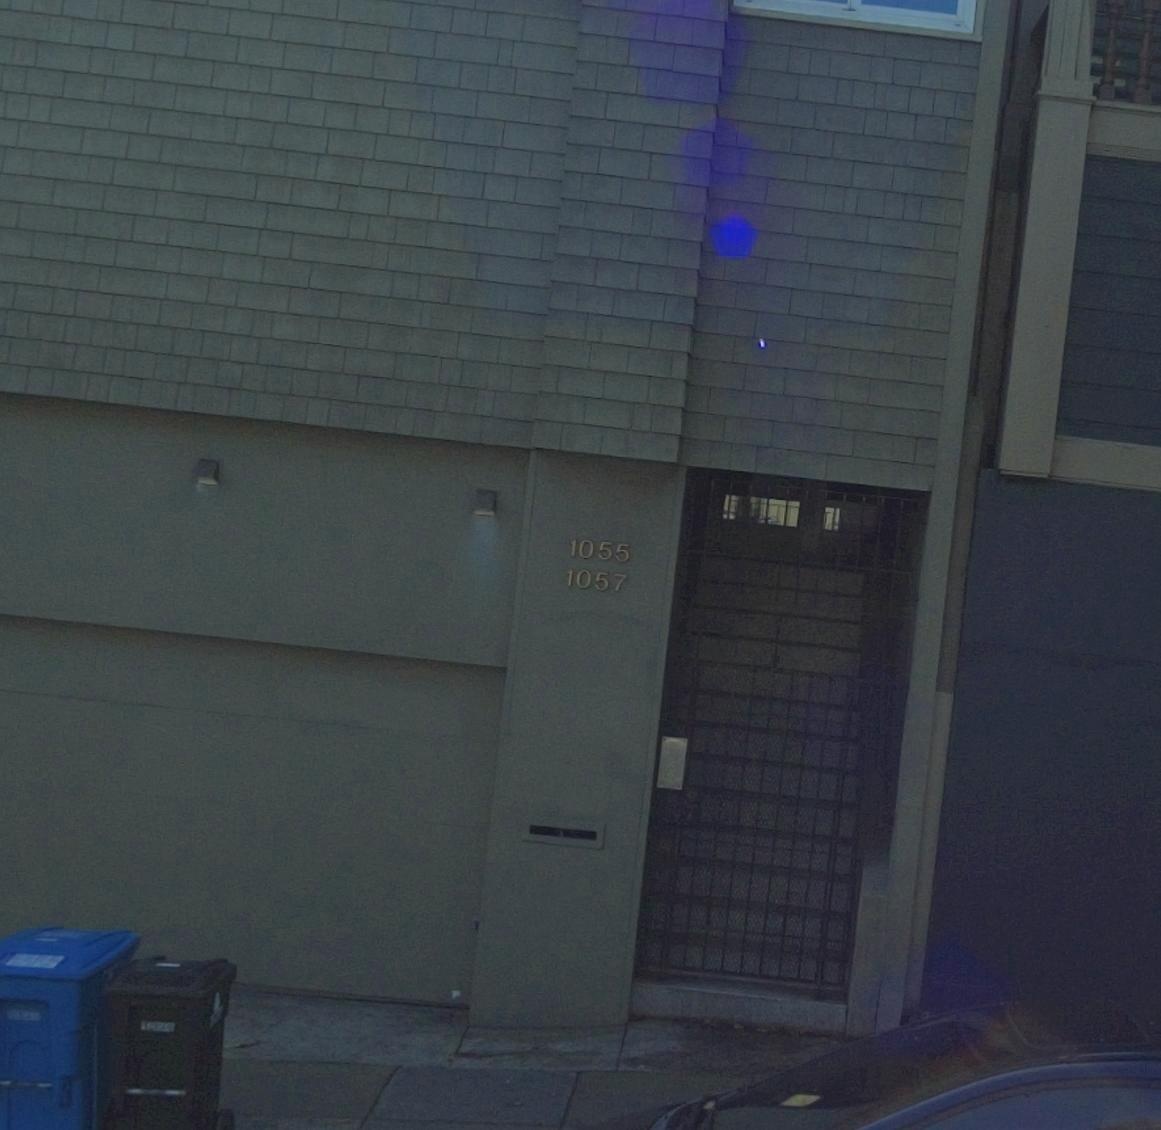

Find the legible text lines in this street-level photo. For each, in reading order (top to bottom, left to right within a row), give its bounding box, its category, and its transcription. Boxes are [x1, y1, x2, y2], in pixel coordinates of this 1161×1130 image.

[566, 536, 633, 566] StreetNumber: 1055
[563, 565, 631, 596] StreetNumber: 1057